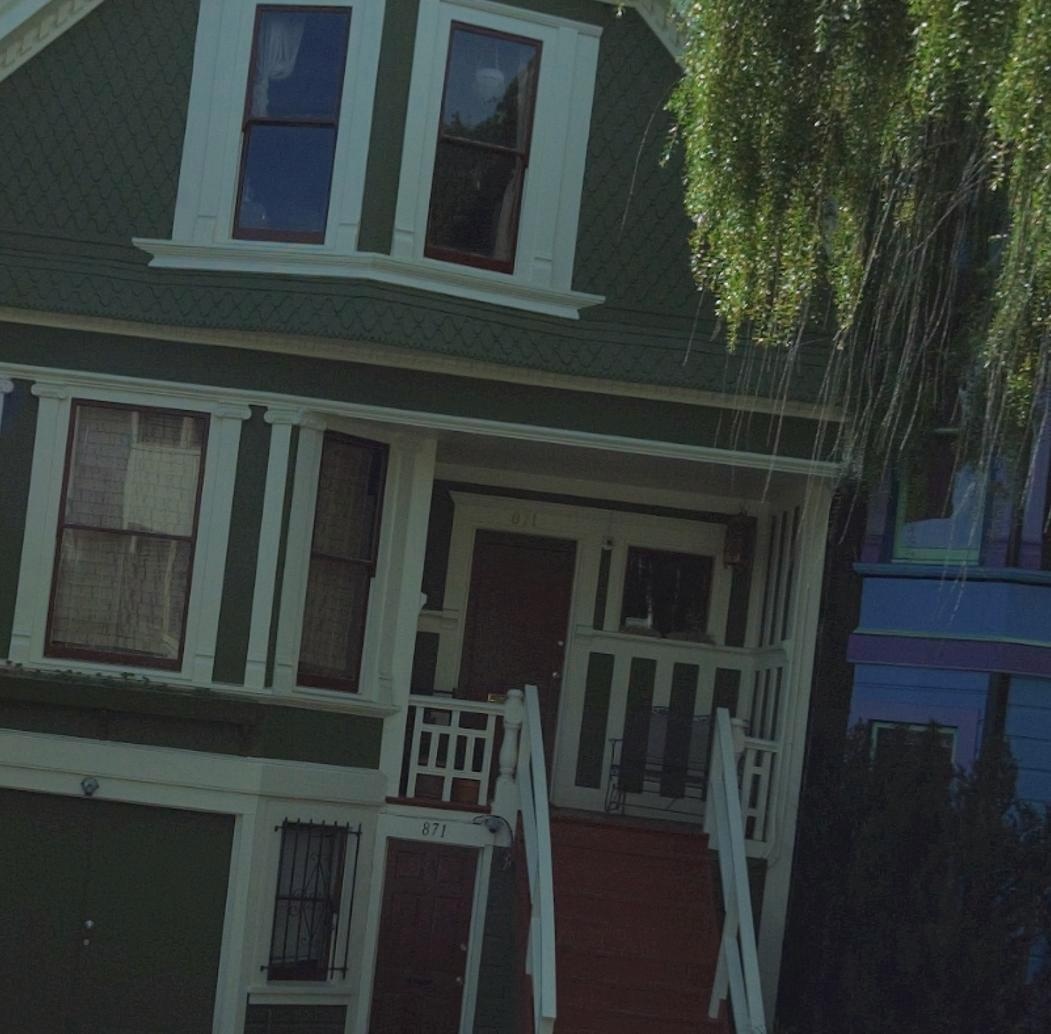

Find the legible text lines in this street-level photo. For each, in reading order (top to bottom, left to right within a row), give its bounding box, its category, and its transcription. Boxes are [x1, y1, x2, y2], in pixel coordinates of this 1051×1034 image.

[511, 510, 538, 528] StreetNumber: 871
[419, 820, 448, 840] StreetNumber: 871